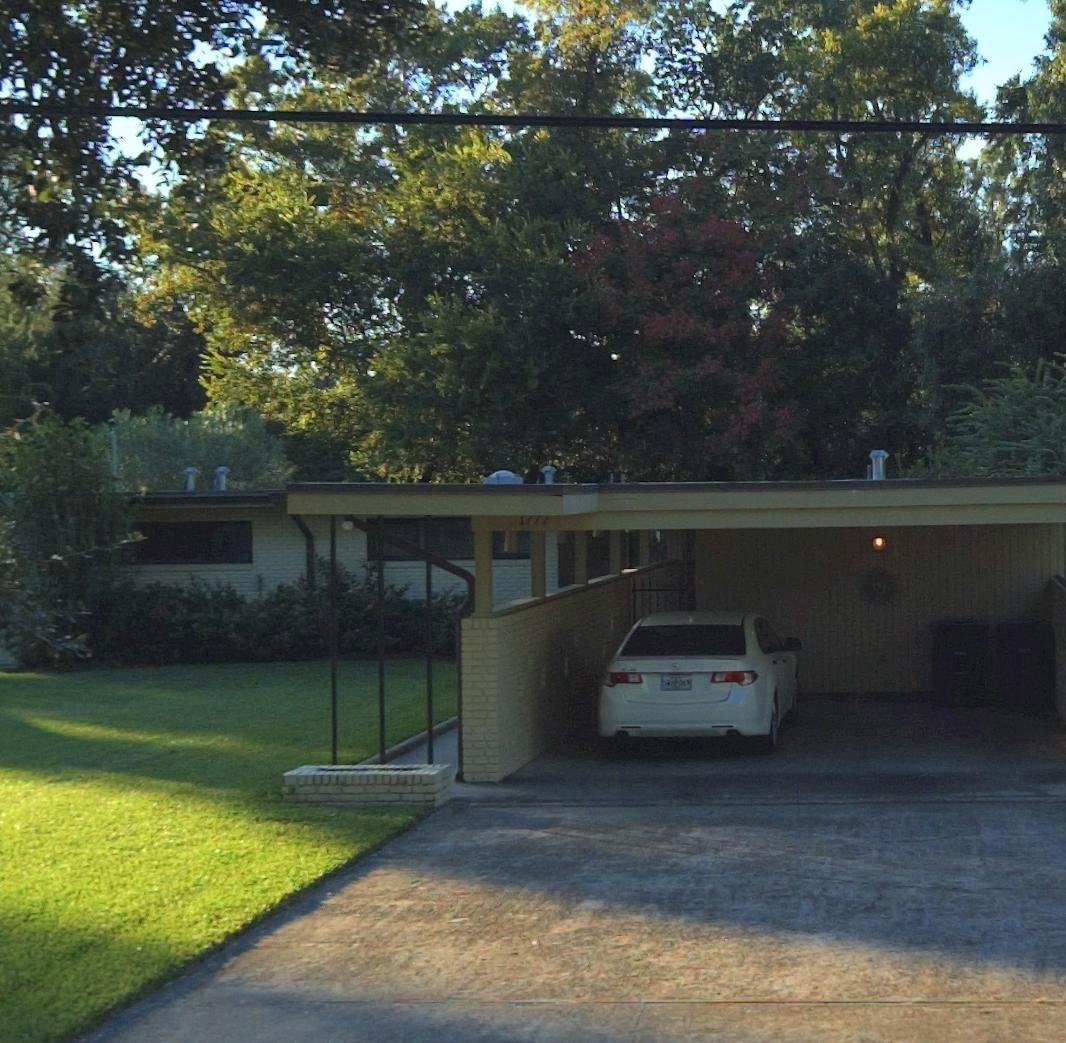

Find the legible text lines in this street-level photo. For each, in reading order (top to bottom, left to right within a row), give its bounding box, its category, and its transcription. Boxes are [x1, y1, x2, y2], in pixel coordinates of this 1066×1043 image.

[517, 513, 552, 527] StreetNumber: 1777